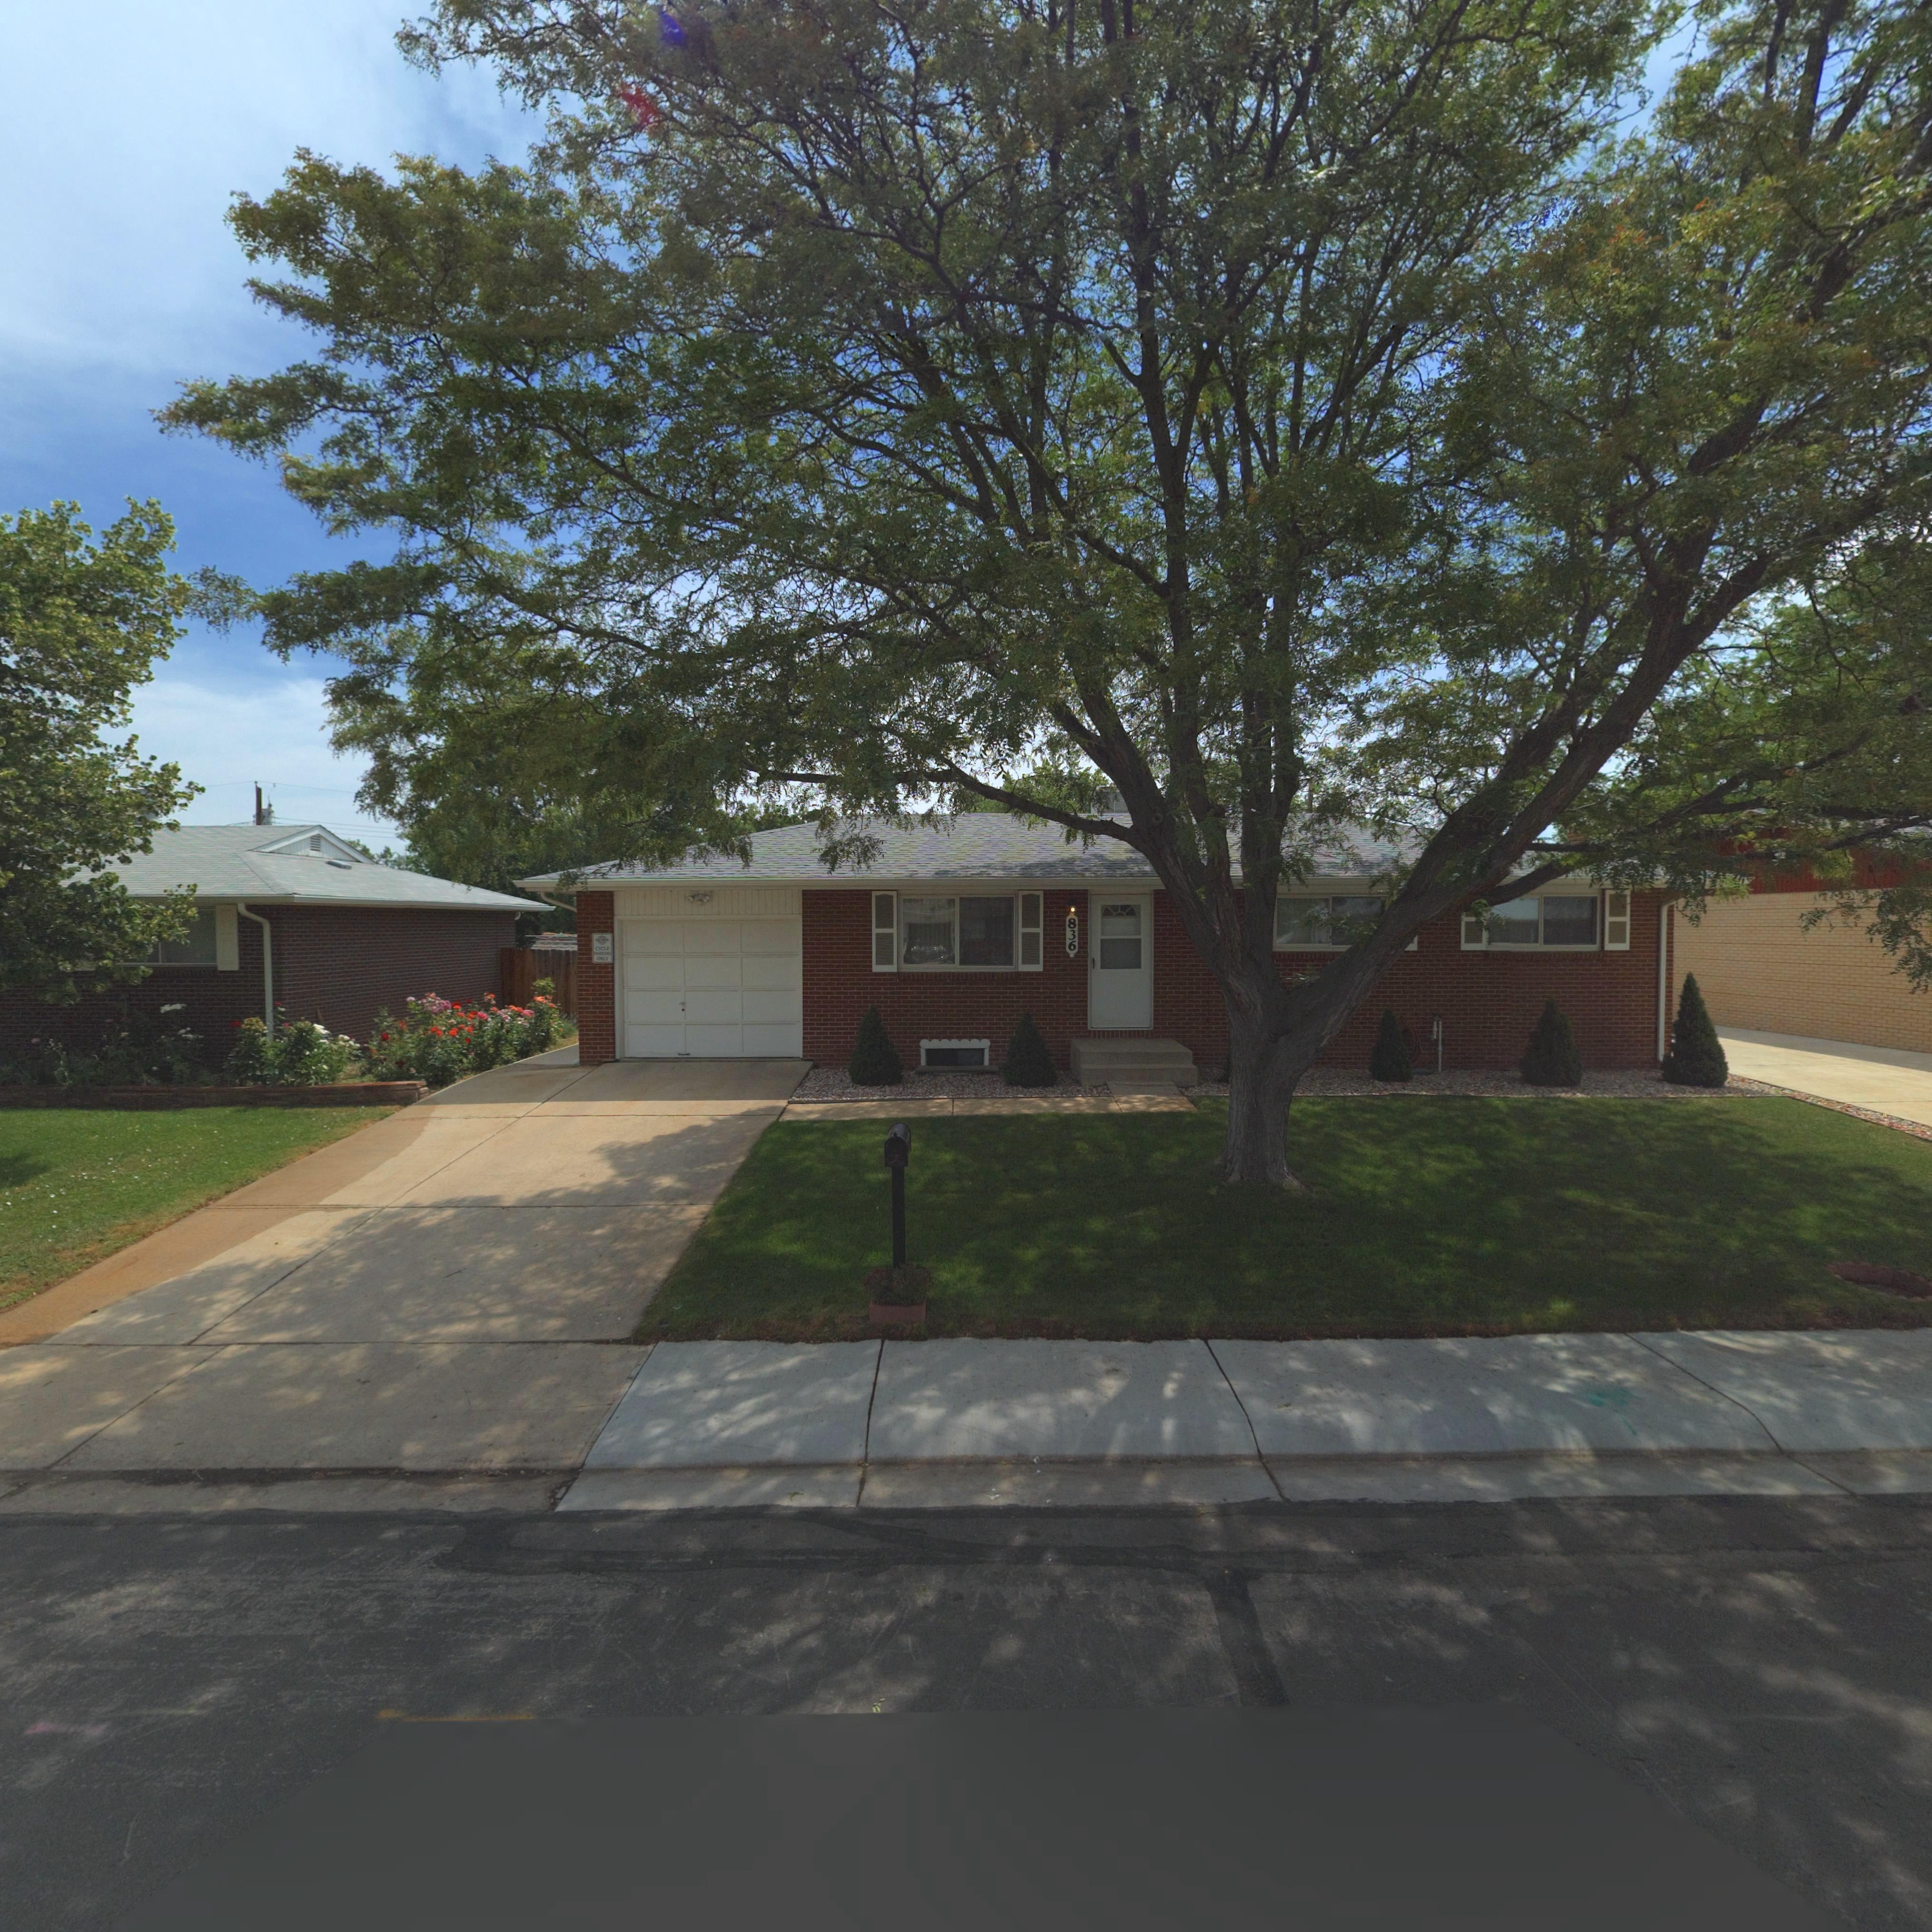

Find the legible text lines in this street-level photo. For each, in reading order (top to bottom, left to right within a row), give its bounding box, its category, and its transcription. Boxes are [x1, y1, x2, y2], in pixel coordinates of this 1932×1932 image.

[1067, 918, 1076, 951] StreetNumber: 836